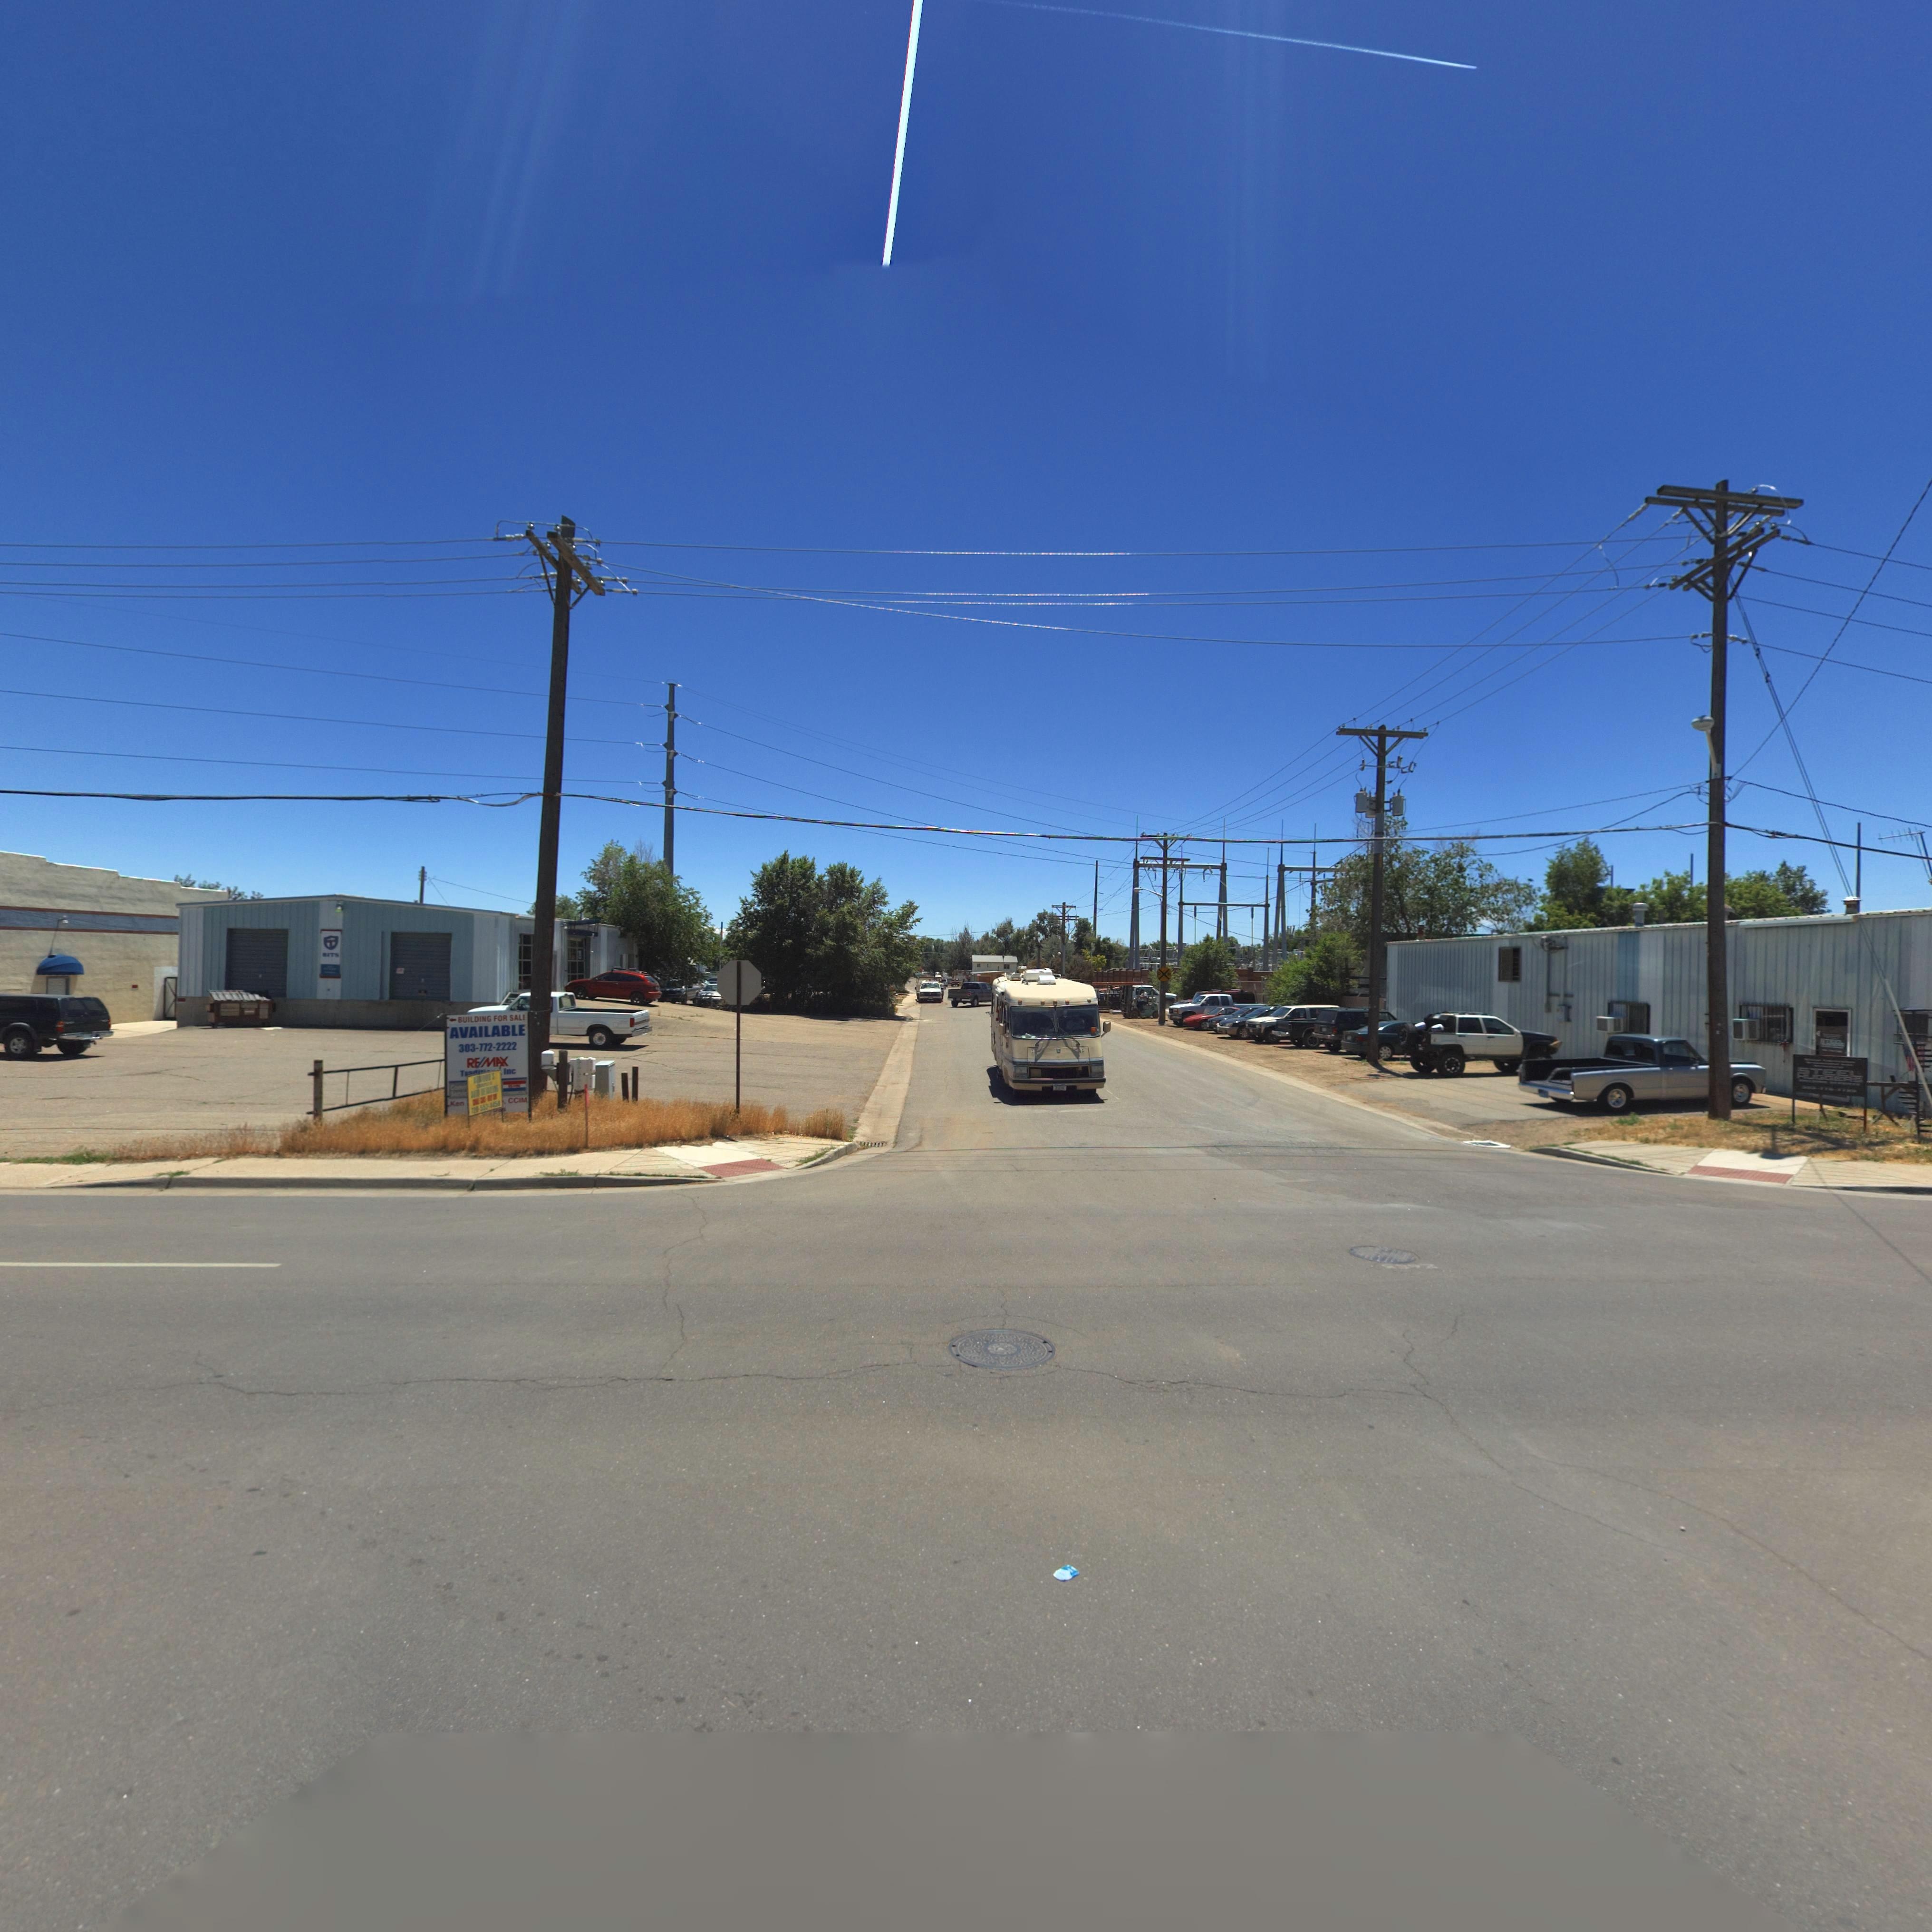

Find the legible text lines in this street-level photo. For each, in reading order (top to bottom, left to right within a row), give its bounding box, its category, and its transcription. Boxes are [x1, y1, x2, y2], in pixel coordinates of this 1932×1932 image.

[322, 952, 339, 957] BusinessName: BITS
[1820, 1039, 1844, 1044] BusinessName: *TEEL
[1797, 1067, 1864, 1078] BusinessName: STEEL
[1796, 1073, 1862, 1082] BusinessName: HUGGER*